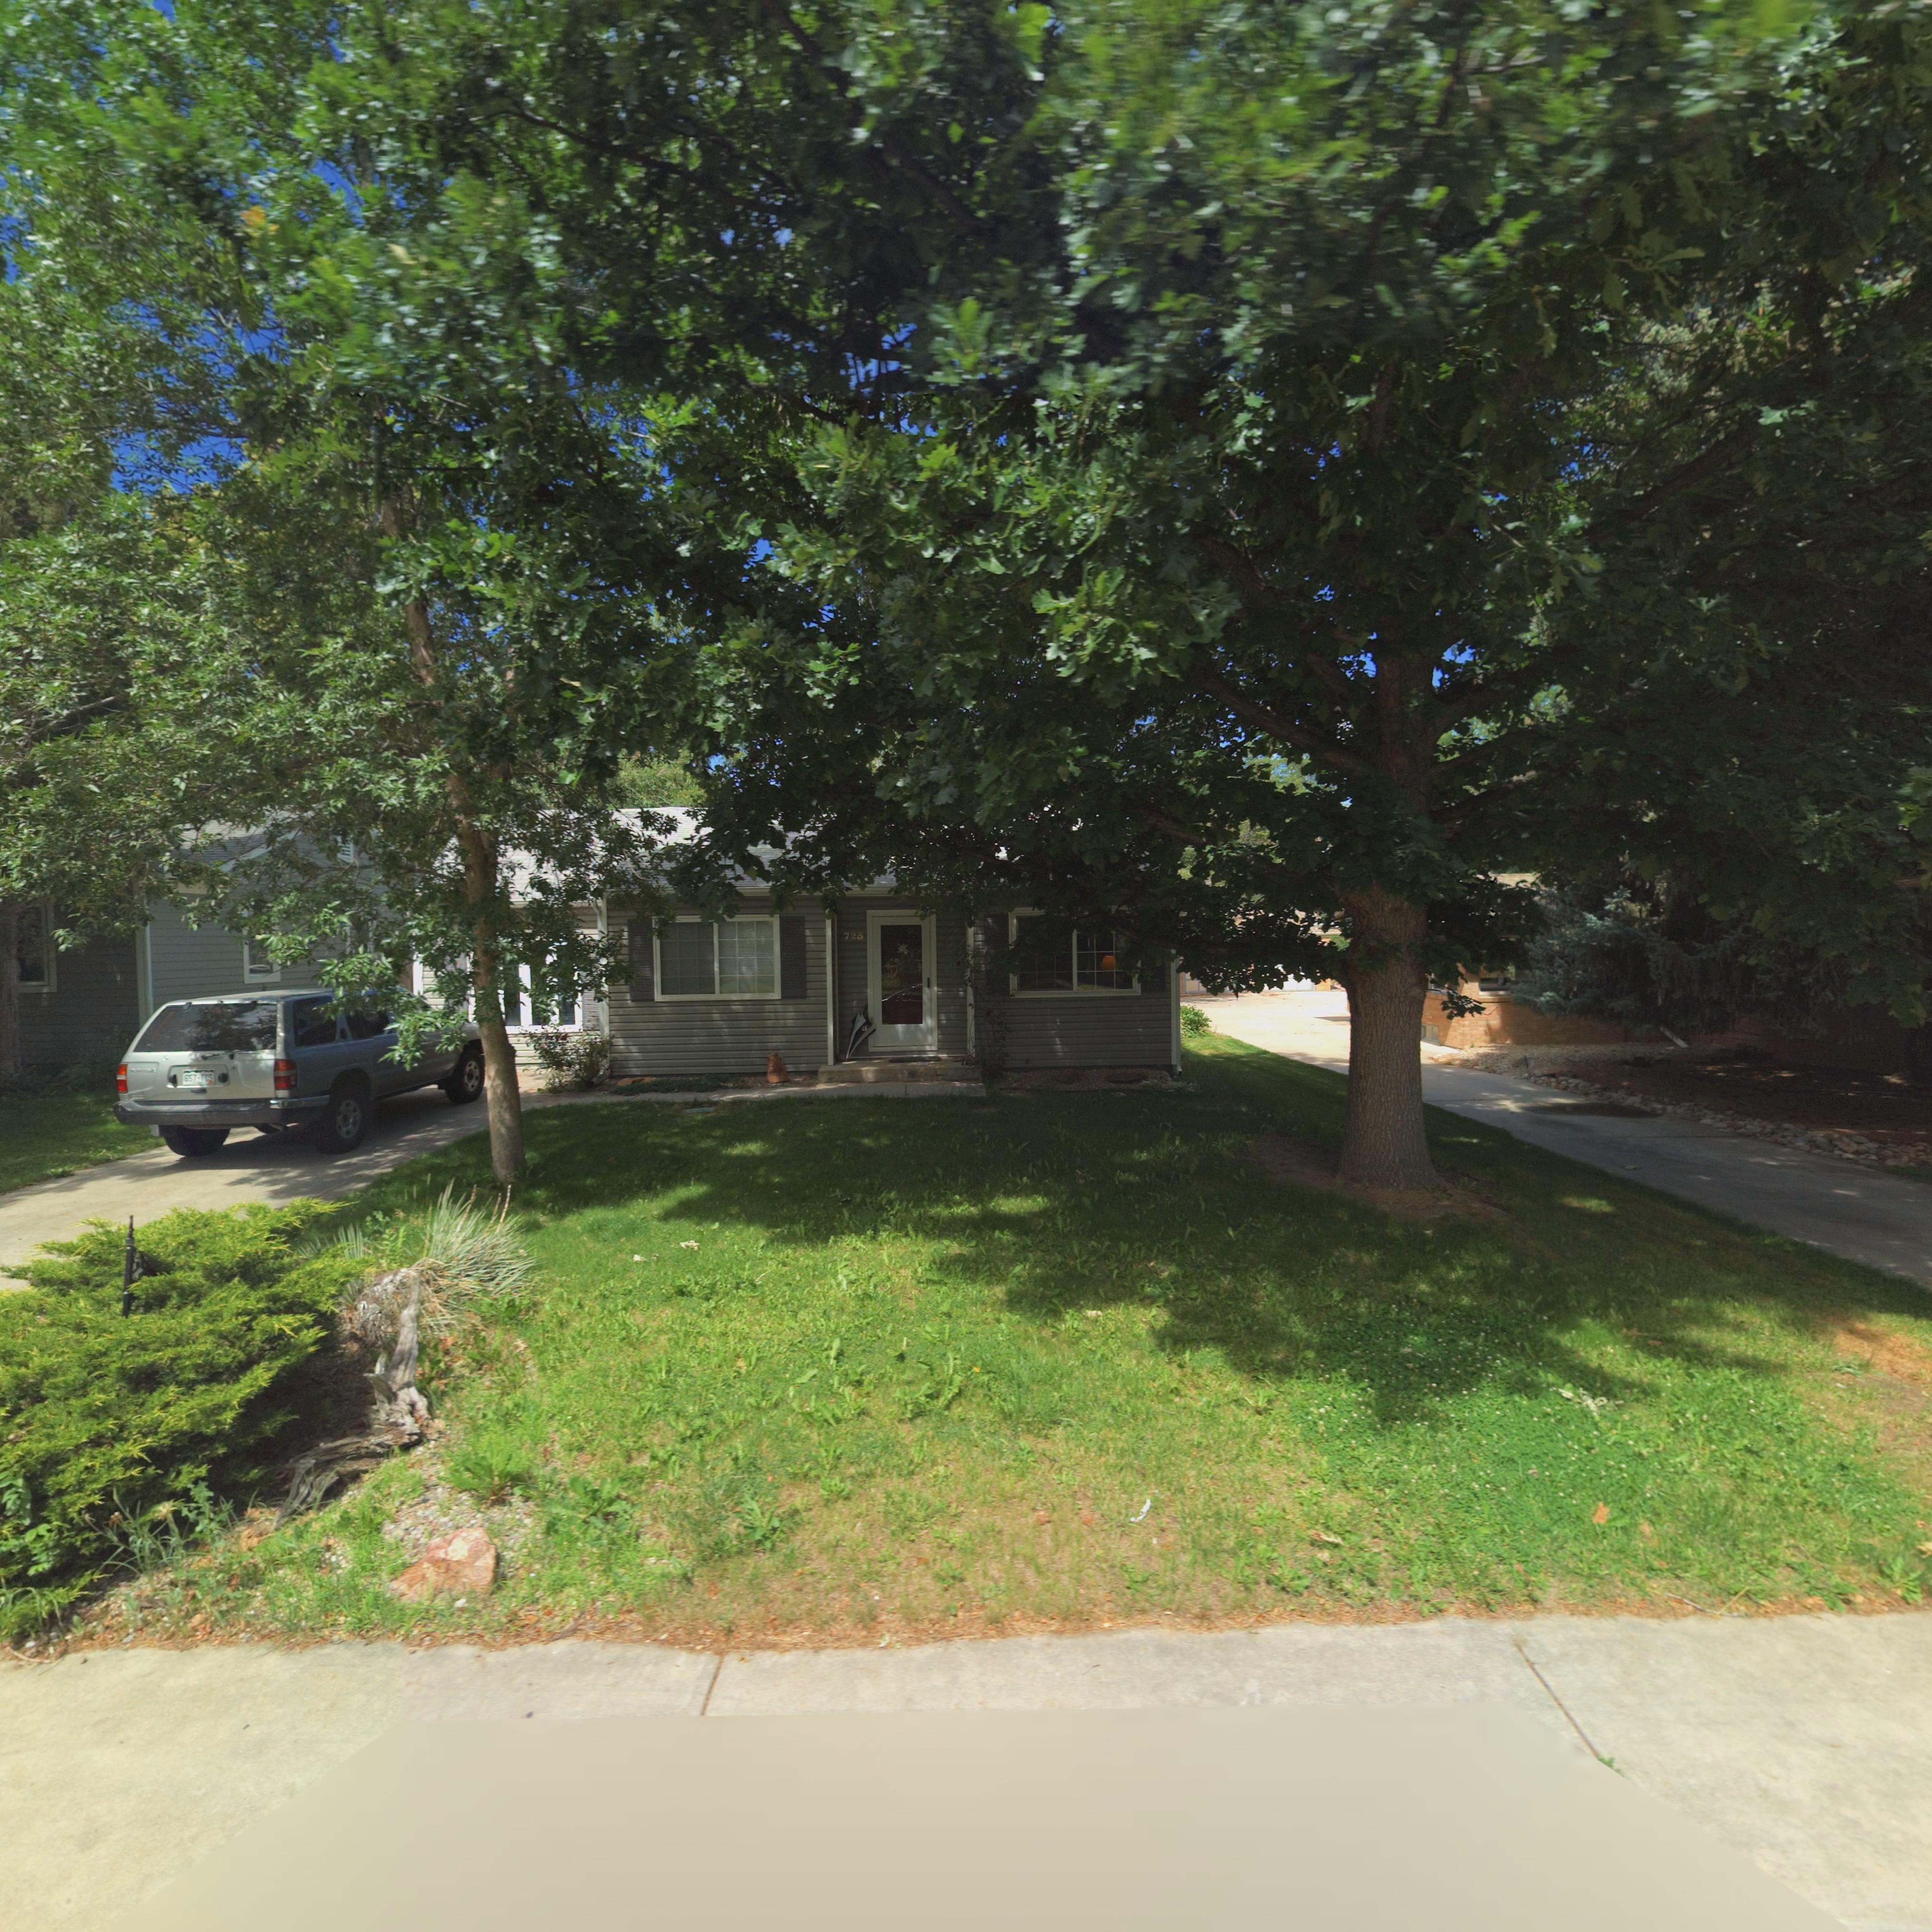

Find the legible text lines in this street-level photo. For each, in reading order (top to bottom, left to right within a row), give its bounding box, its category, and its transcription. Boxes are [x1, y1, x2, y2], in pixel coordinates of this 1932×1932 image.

[843, 931, 864, 940] StreetNumber: 725